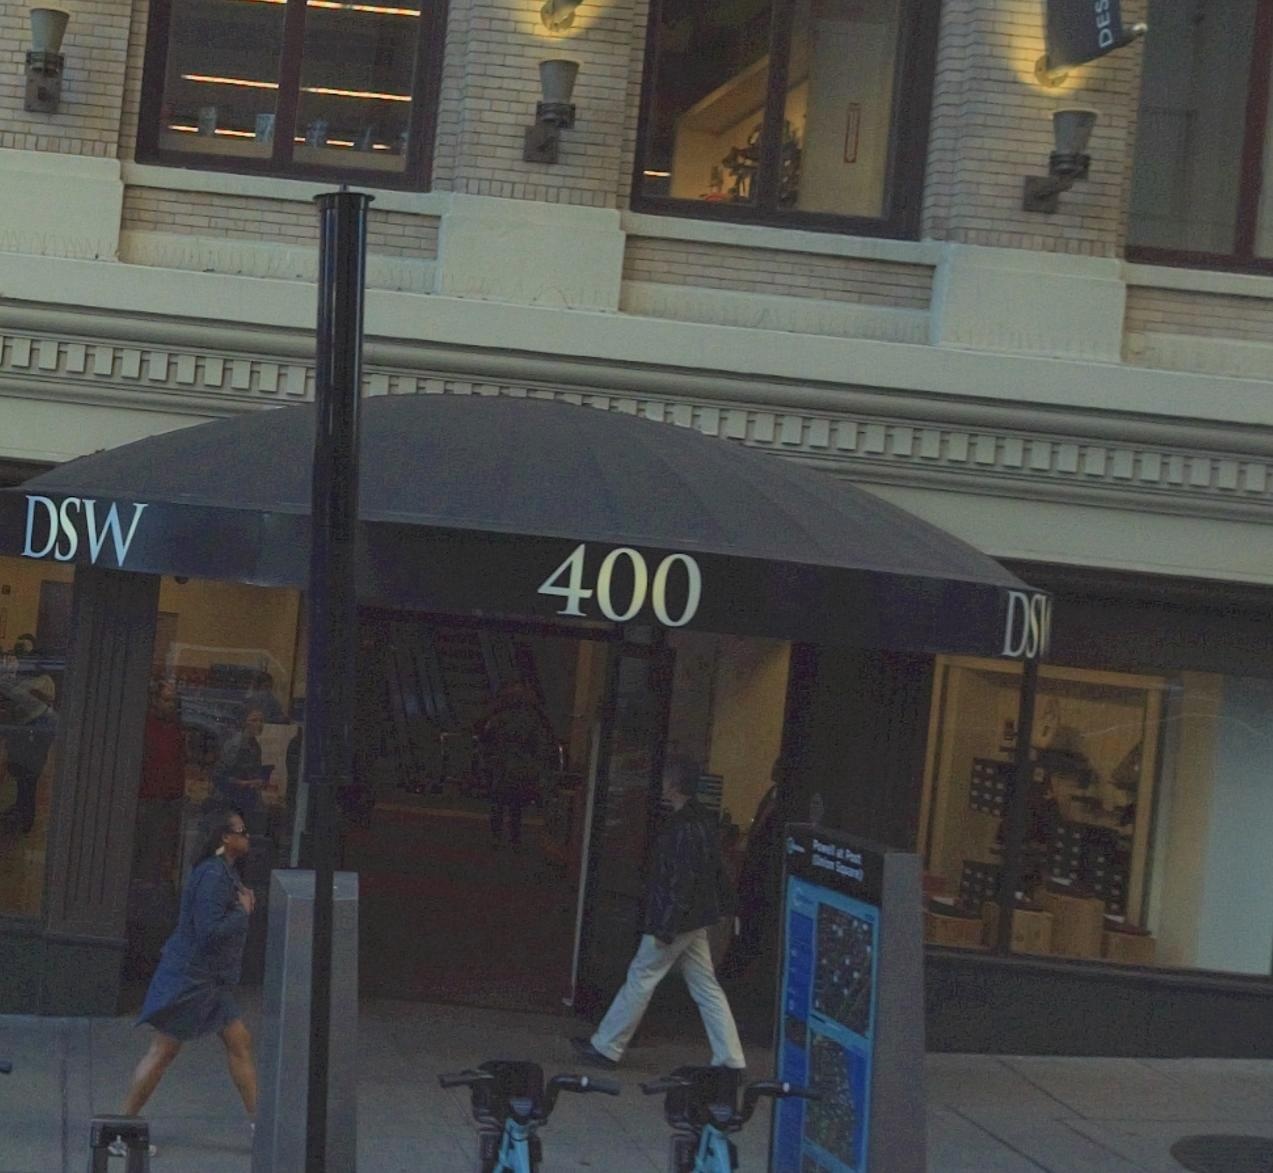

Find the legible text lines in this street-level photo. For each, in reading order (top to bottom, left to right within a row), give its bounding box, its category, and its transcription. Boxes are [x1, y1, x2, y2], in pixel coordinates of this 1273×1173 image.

[16, 490, 158, 573] BusinessName: DSW
[531, 540, 708, 631] StreetNumber: 400
[997, 588, 1057, 664] BusinessName: DS*
[810, 835, 863, 867] None: Powell at P*st
[809, 851, 867, 884] None: (Union Square)